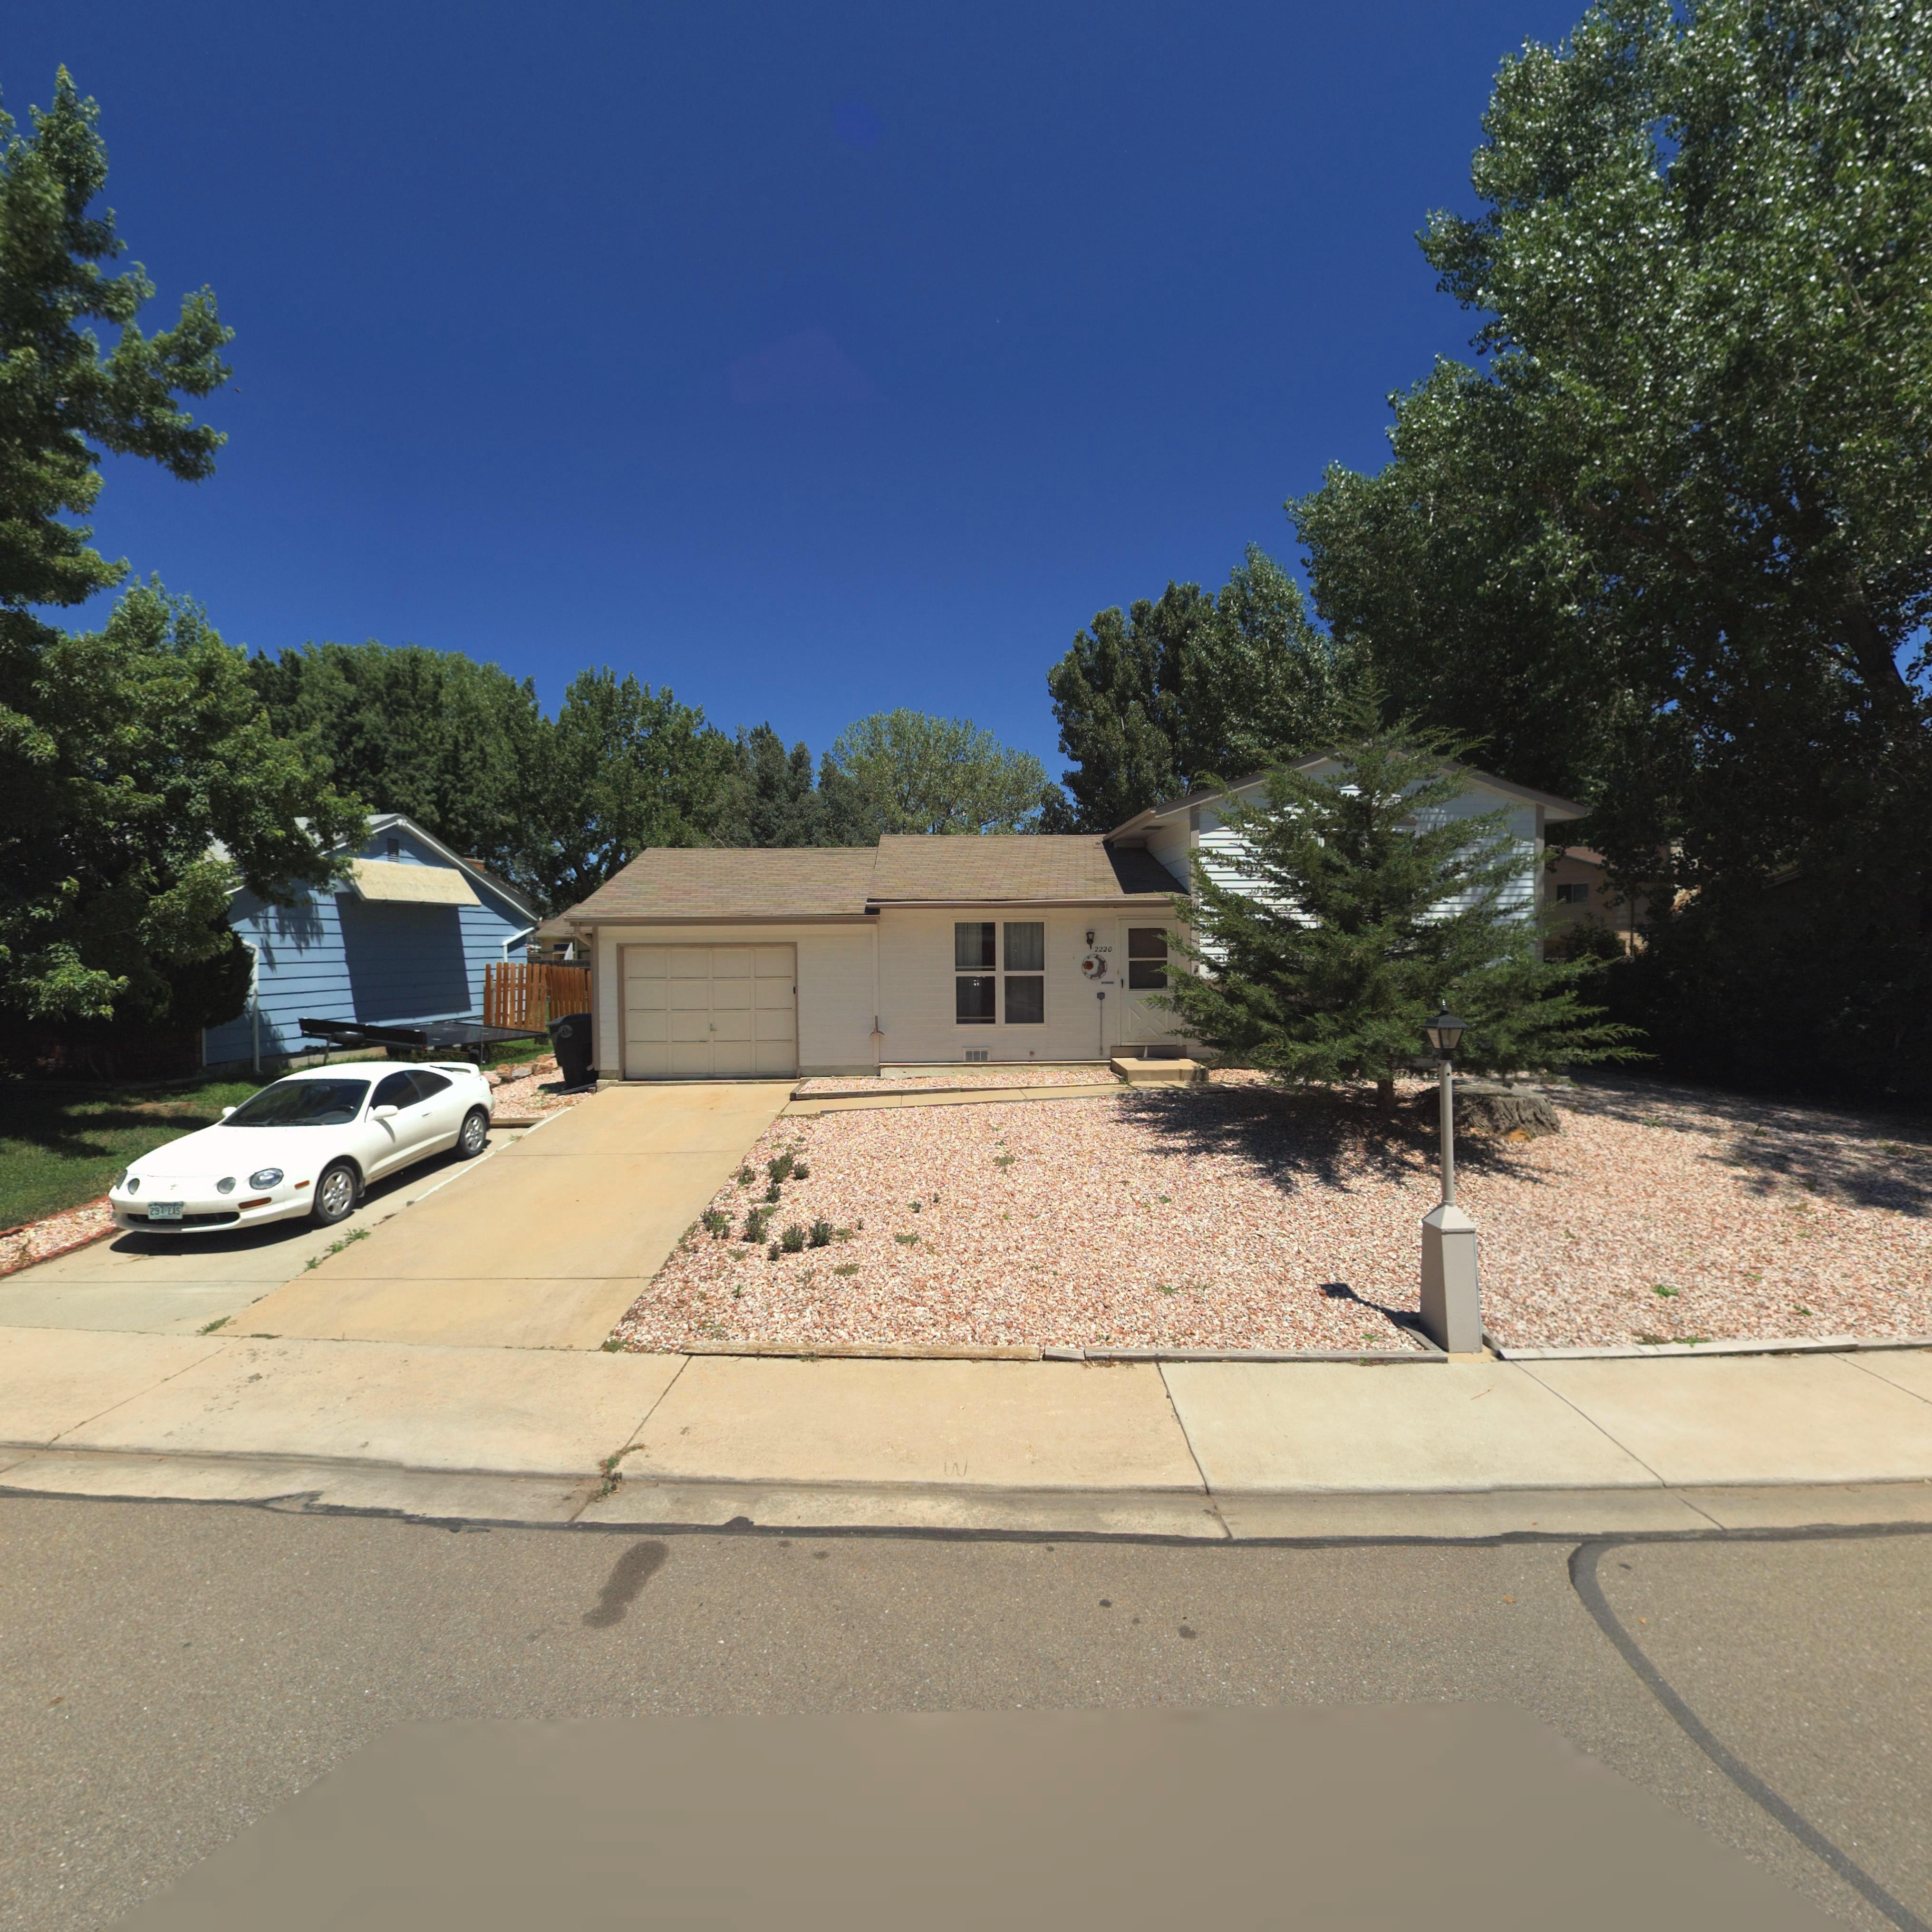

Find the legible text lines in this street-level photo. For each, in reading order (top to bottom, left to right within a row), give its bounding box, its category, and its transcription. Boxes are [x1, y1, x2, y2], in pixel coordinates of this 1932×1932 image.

[1094, 946, 1112, 952] StreetNumber: 2220